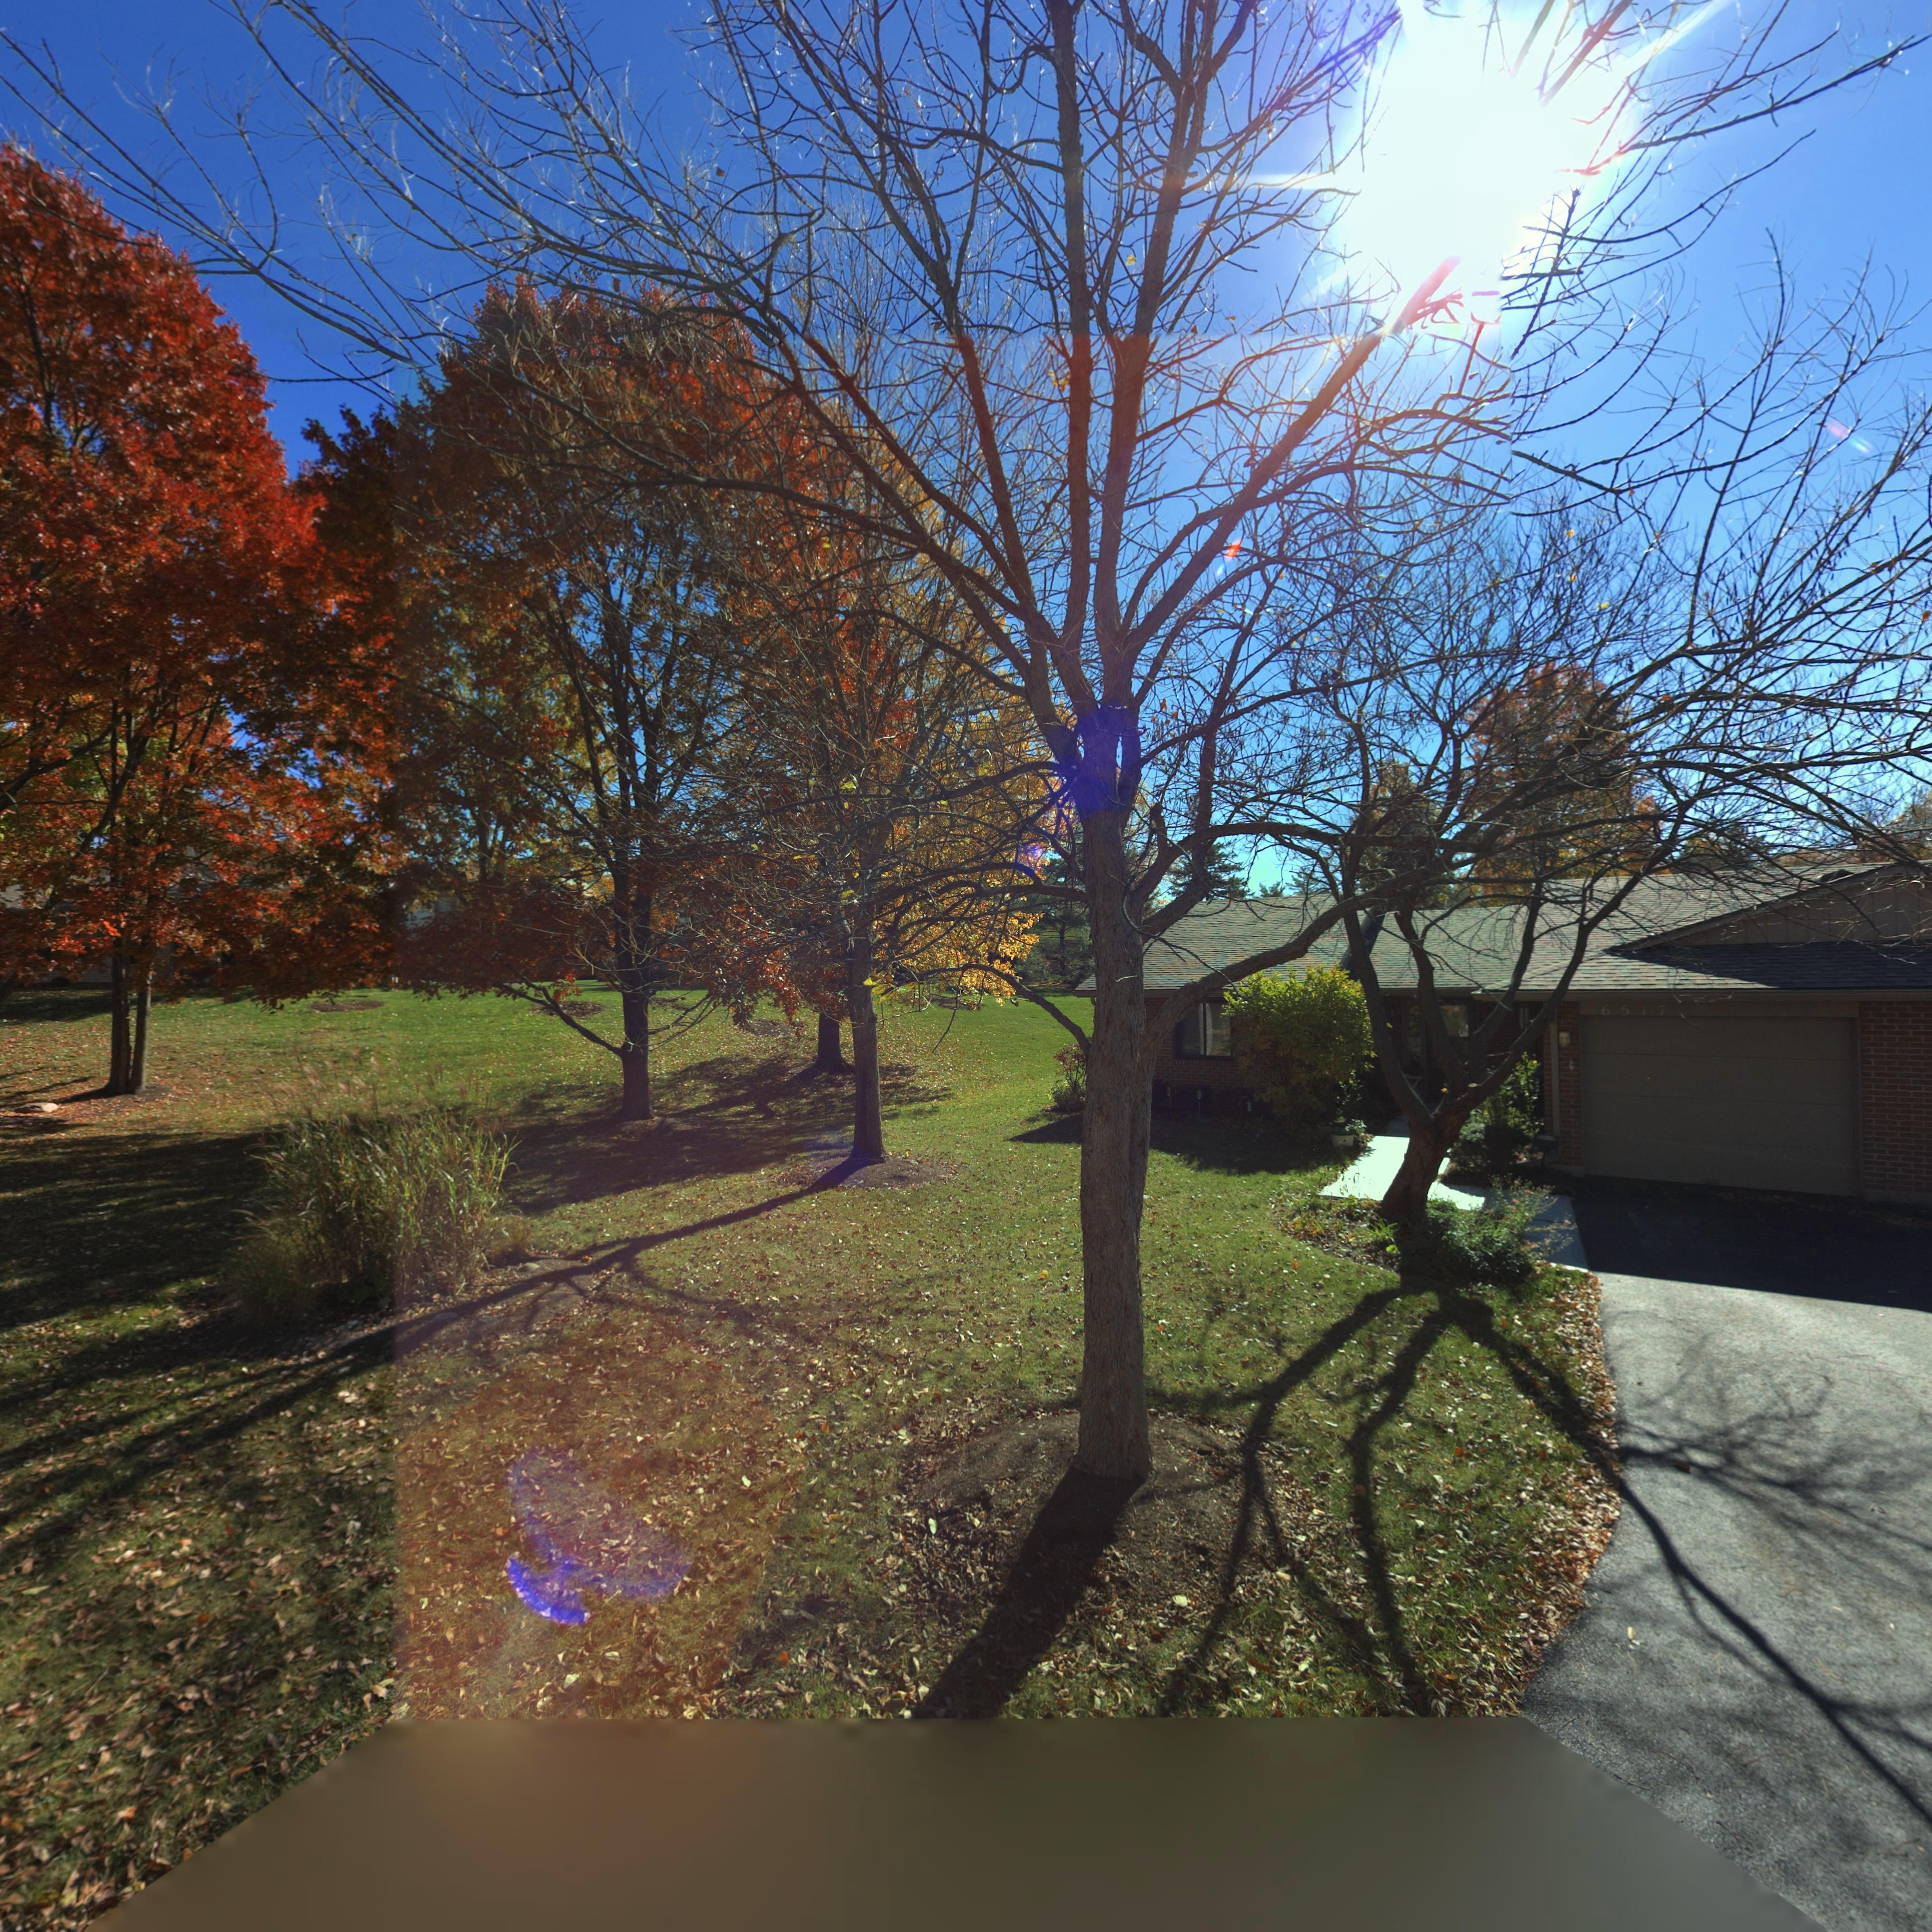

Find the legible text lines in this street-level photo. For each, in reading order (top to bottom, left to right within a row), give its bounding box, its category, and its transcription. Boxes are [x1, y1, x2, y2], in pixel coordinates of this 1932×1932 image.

[1601, 1004, 1667, 1017] StreetNumber: 6517